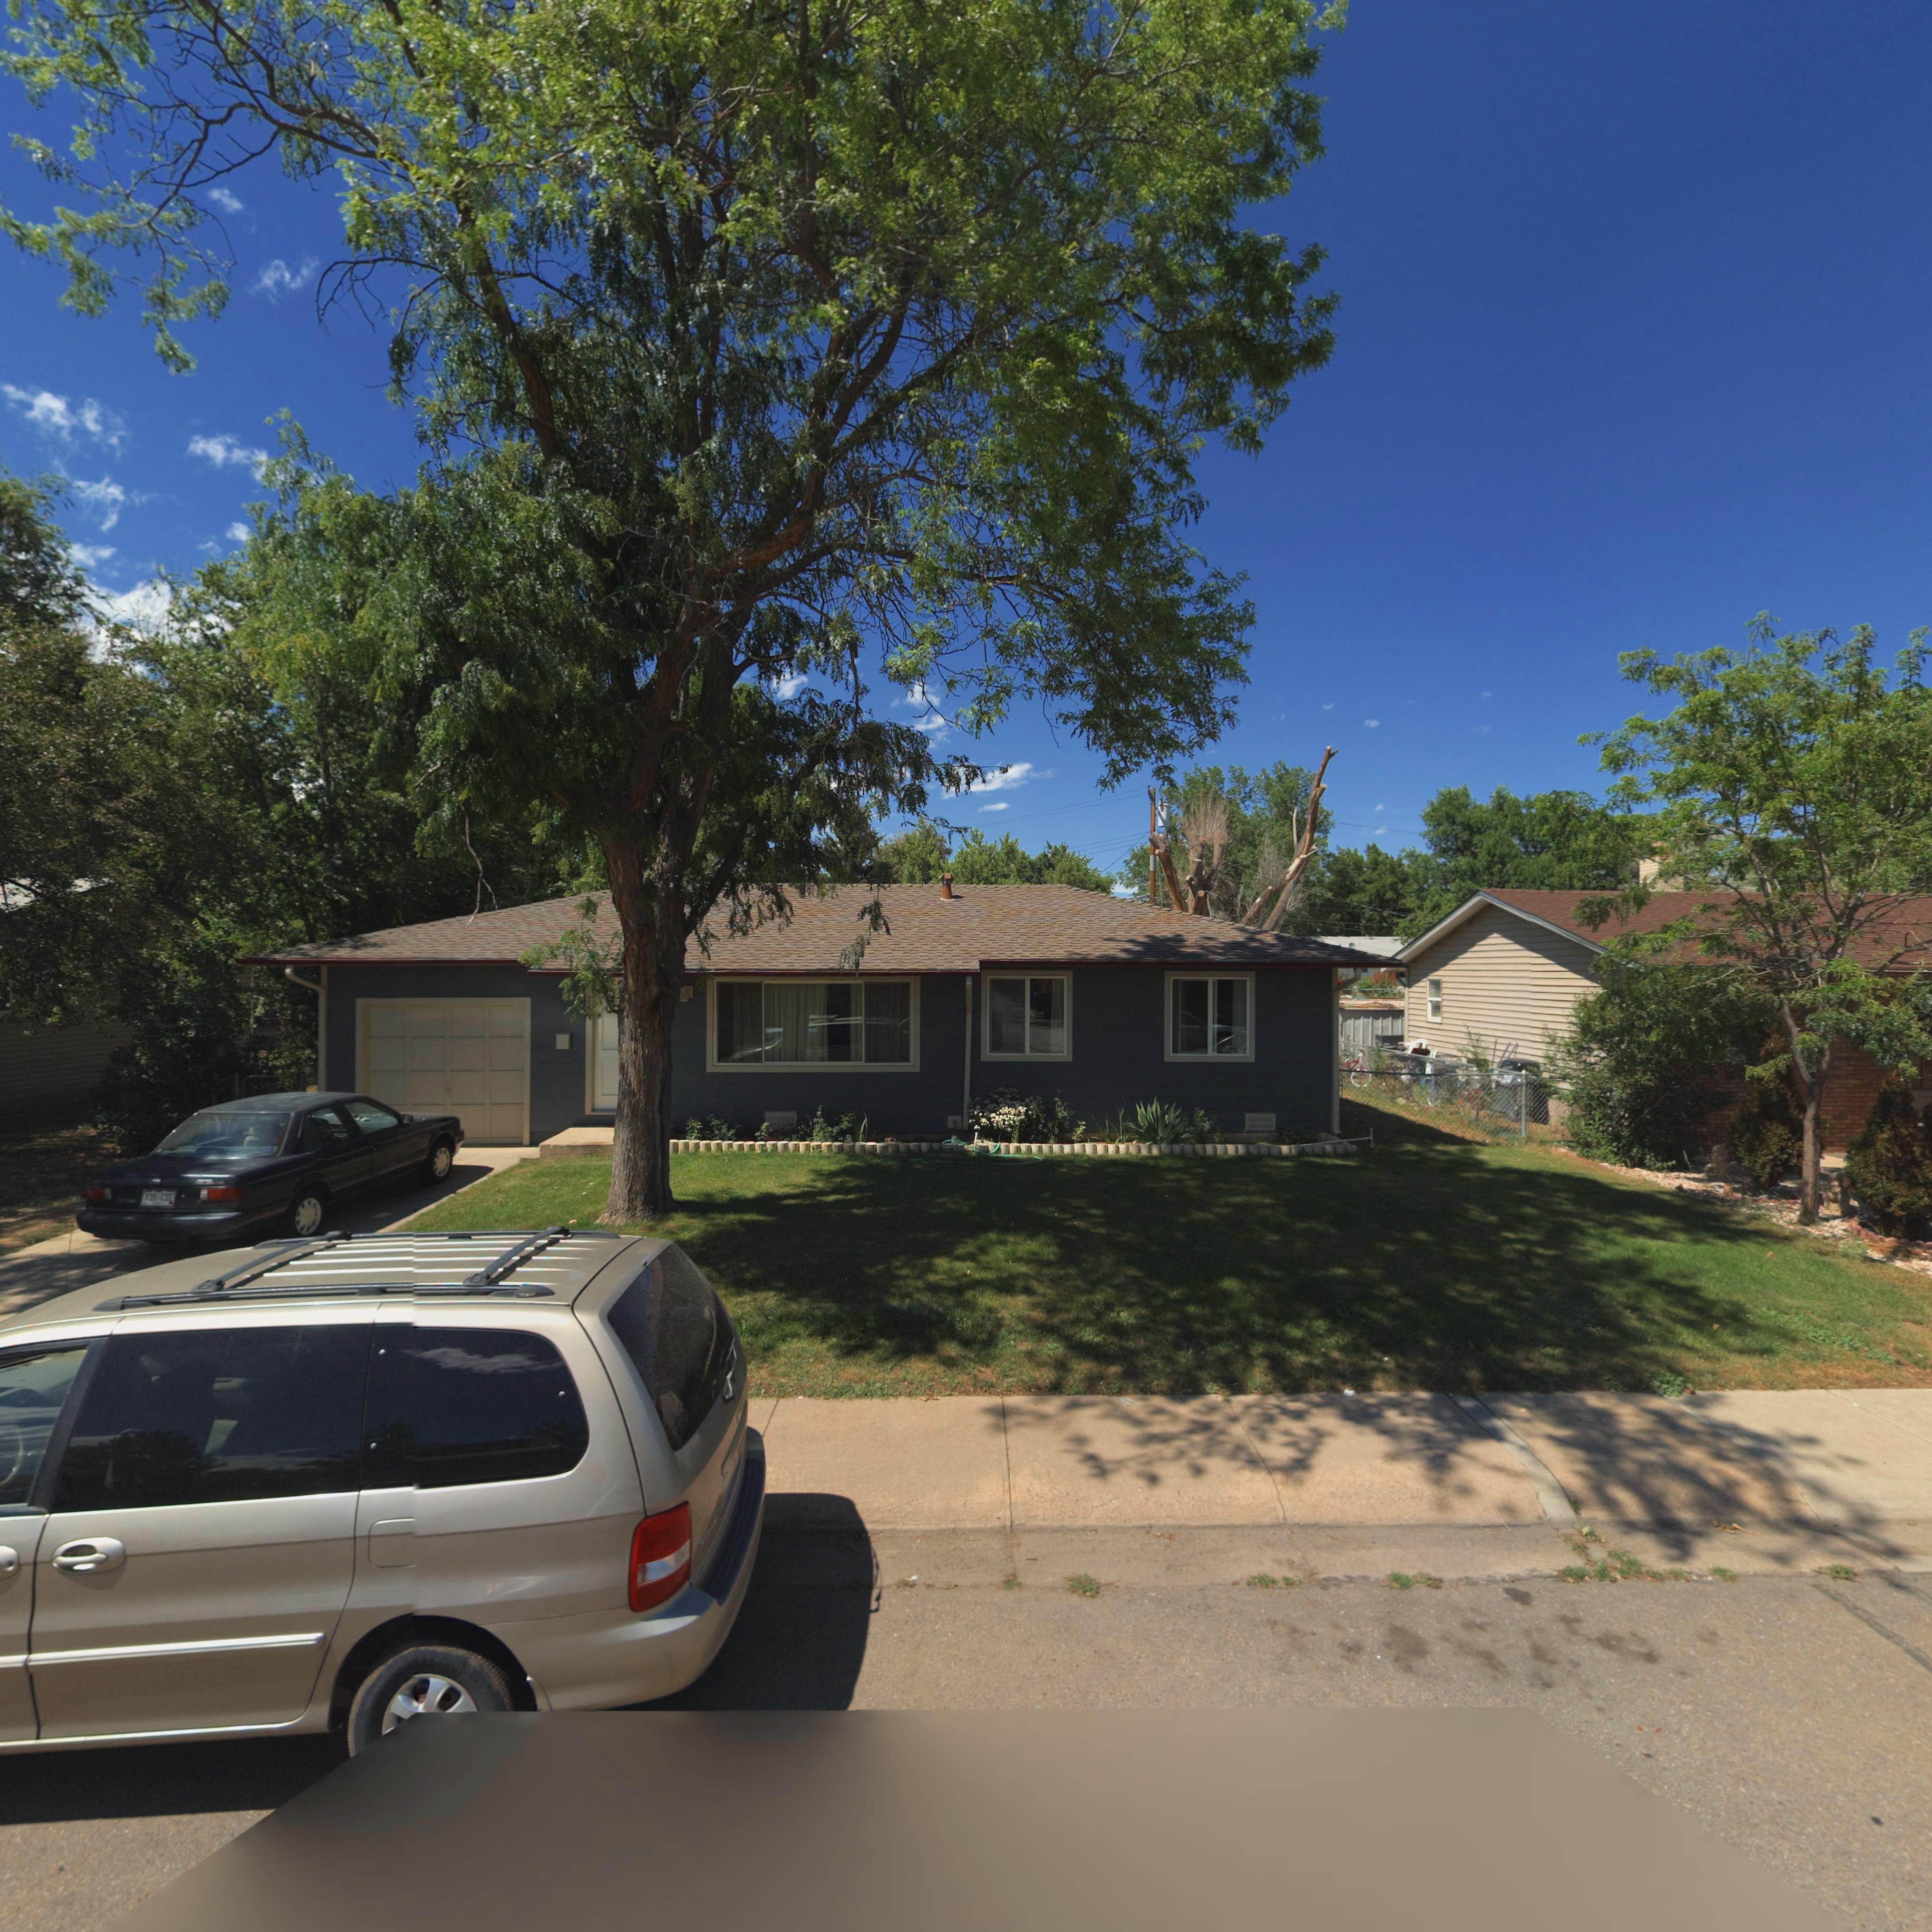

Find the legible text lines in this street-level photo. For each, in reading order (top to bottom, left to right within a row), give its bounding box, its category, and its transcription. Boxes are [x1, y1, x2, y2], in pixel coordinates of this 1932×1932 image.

[586, 995, 591, 1003] StreetNumber: 2